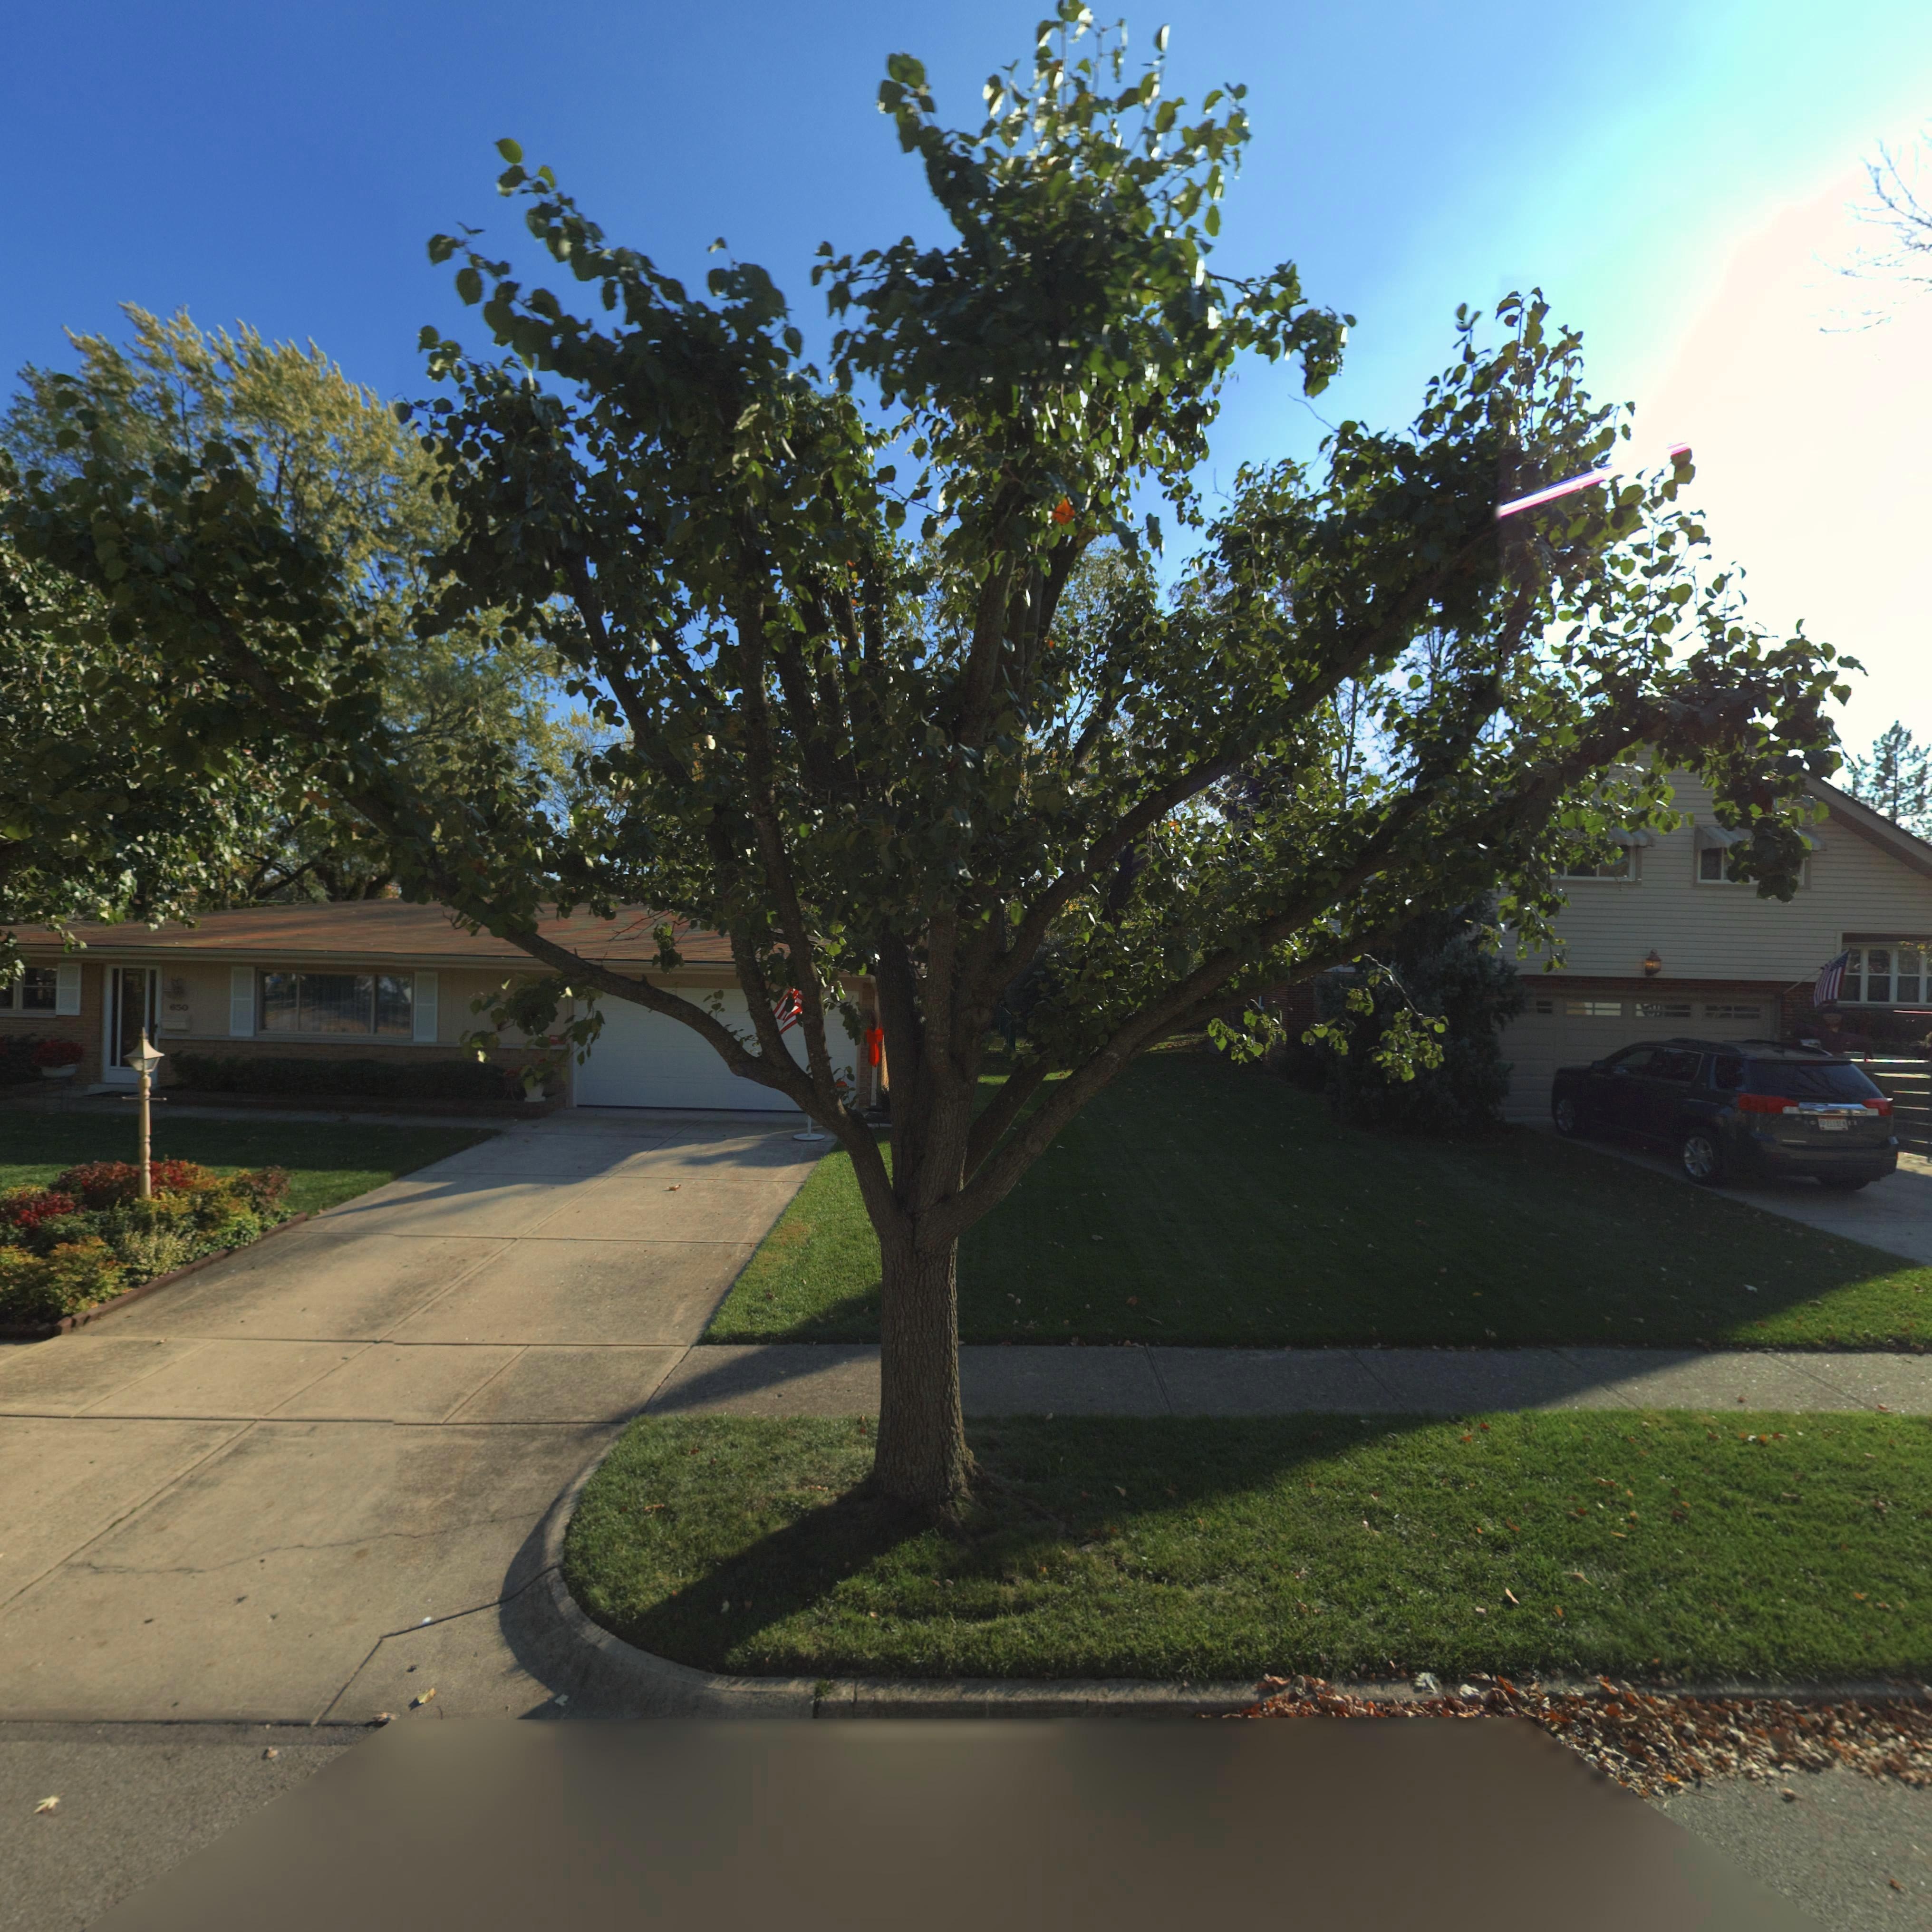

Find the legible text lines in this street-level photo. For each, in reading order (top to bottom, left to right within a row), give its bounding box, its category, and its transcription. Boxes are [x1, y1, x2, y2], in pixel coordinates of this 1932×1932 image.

[169, 1003, 189, 1012] StreetNumber: 650